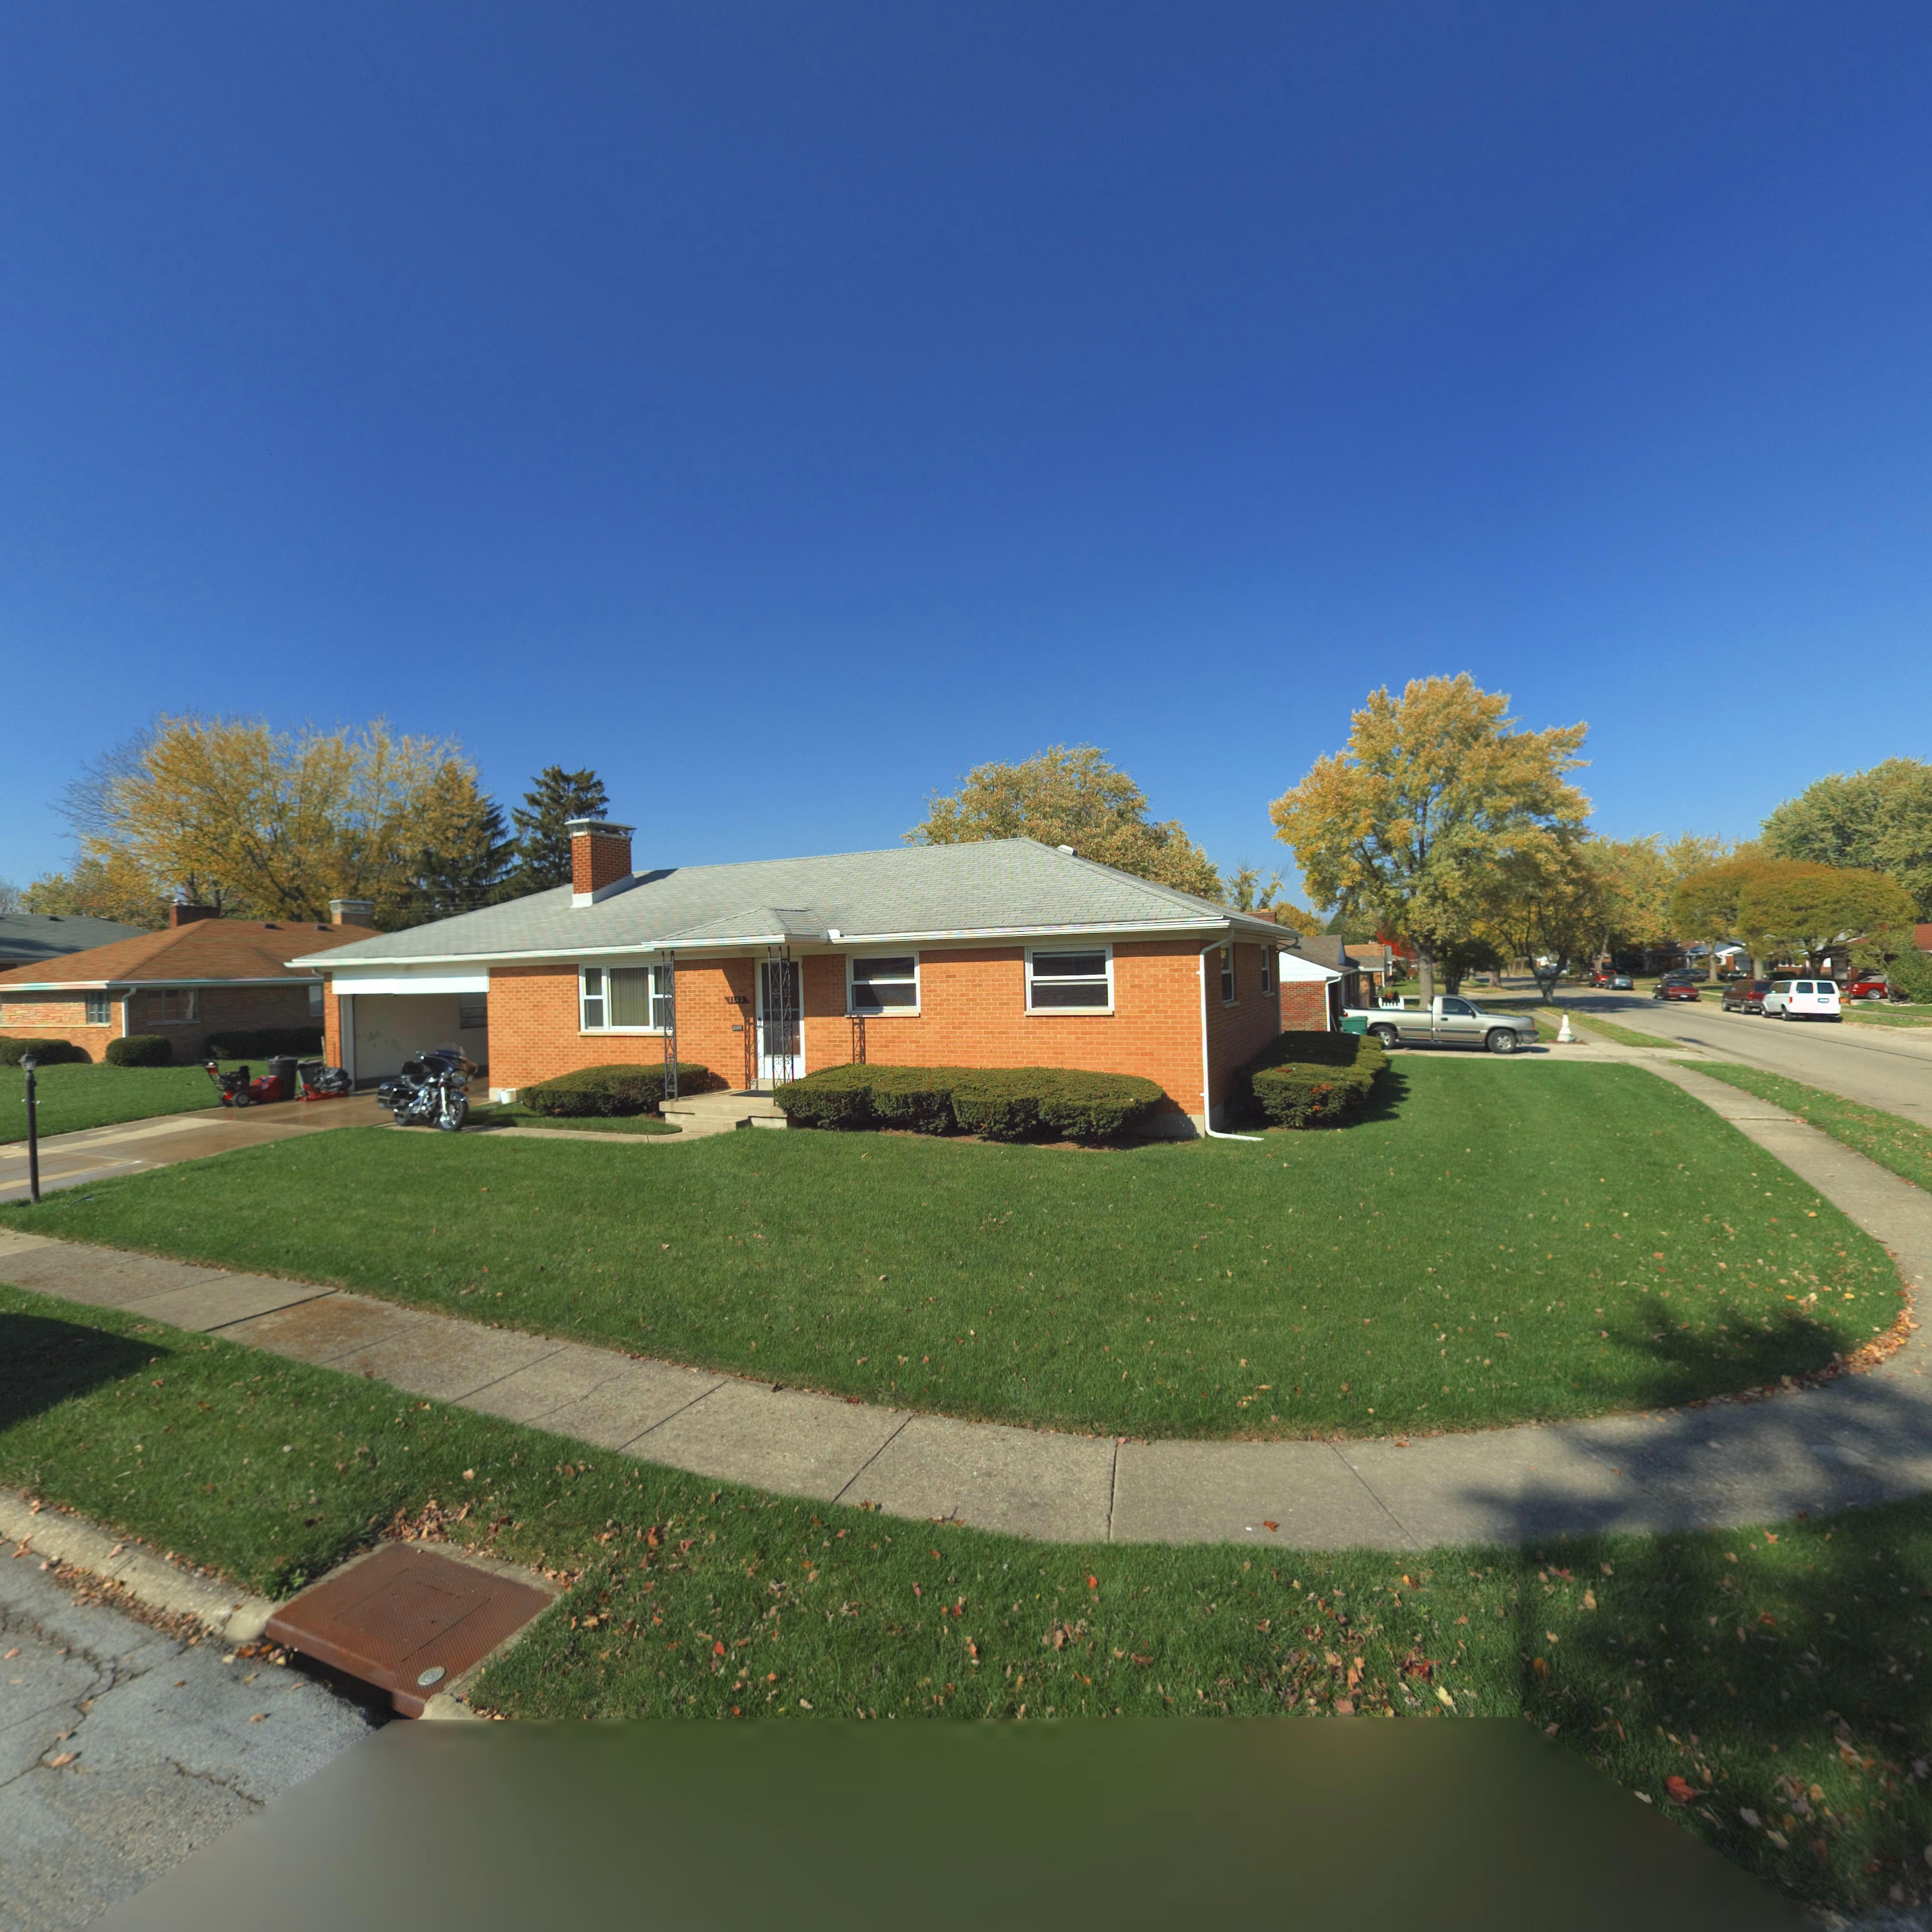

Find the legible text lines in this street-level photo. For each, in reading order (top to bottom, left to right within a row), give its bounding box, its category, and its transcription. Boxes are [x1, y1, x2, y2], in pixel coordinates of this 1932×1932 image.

[728, 995, 744, 1004] StreetNumber: 1143